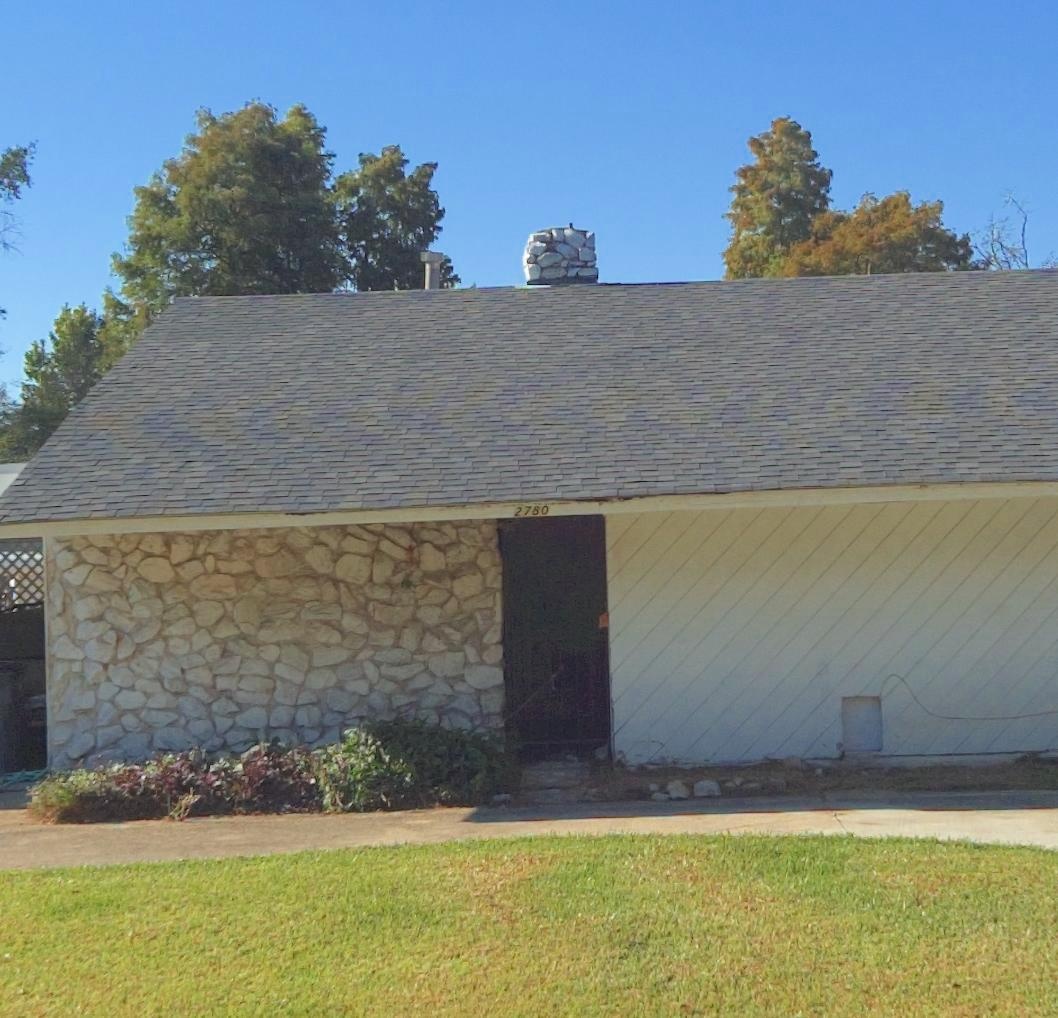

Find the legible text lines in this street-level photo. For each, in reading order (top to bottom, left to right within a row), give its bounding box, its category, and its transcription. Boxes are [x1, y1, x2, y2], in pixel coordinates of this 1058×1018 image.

[511, 503, 552, 520] StreetNumber: 2780